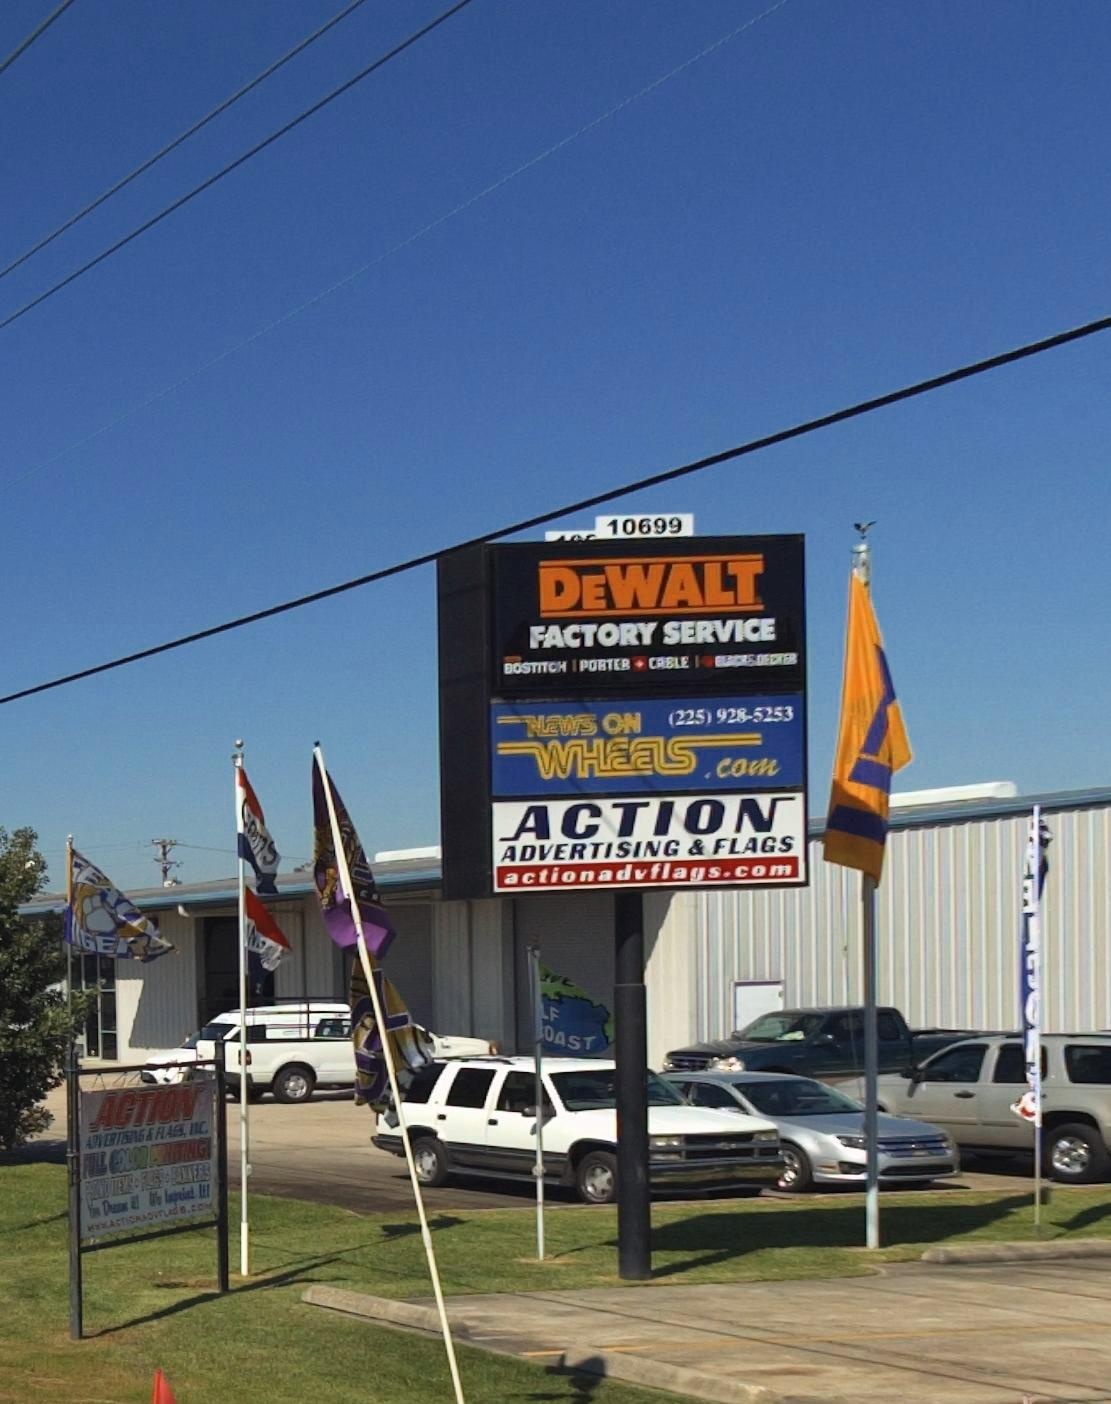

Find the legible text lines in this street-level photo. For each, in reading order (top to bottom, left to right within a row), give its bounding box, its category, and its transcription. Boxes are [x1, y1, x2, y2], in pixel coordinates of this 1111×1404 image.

[604, 513, 685, 538] StreetNumber: 10699
[537, 557, 767, 614] BusinessName: DEWALT
[526, 614, 780, 652] None: FACTORY SERVICE
[501, 653, 693, 678] None: BOSTITCH*PORTER*CABLE
[523, 708, 645, 741] None: NEWS ON 
[664, 701, 798, 731] None: (225)928-5253
[524, 733, 785, 784] None: WHEELS.com
[506, 793, 784, 844] BusinessName: ACTION
[495, 832, 798, 866] BusinessName: ADVERTISING & FLAGS
[498, 860, 795, 889] None: actionadvflags.com